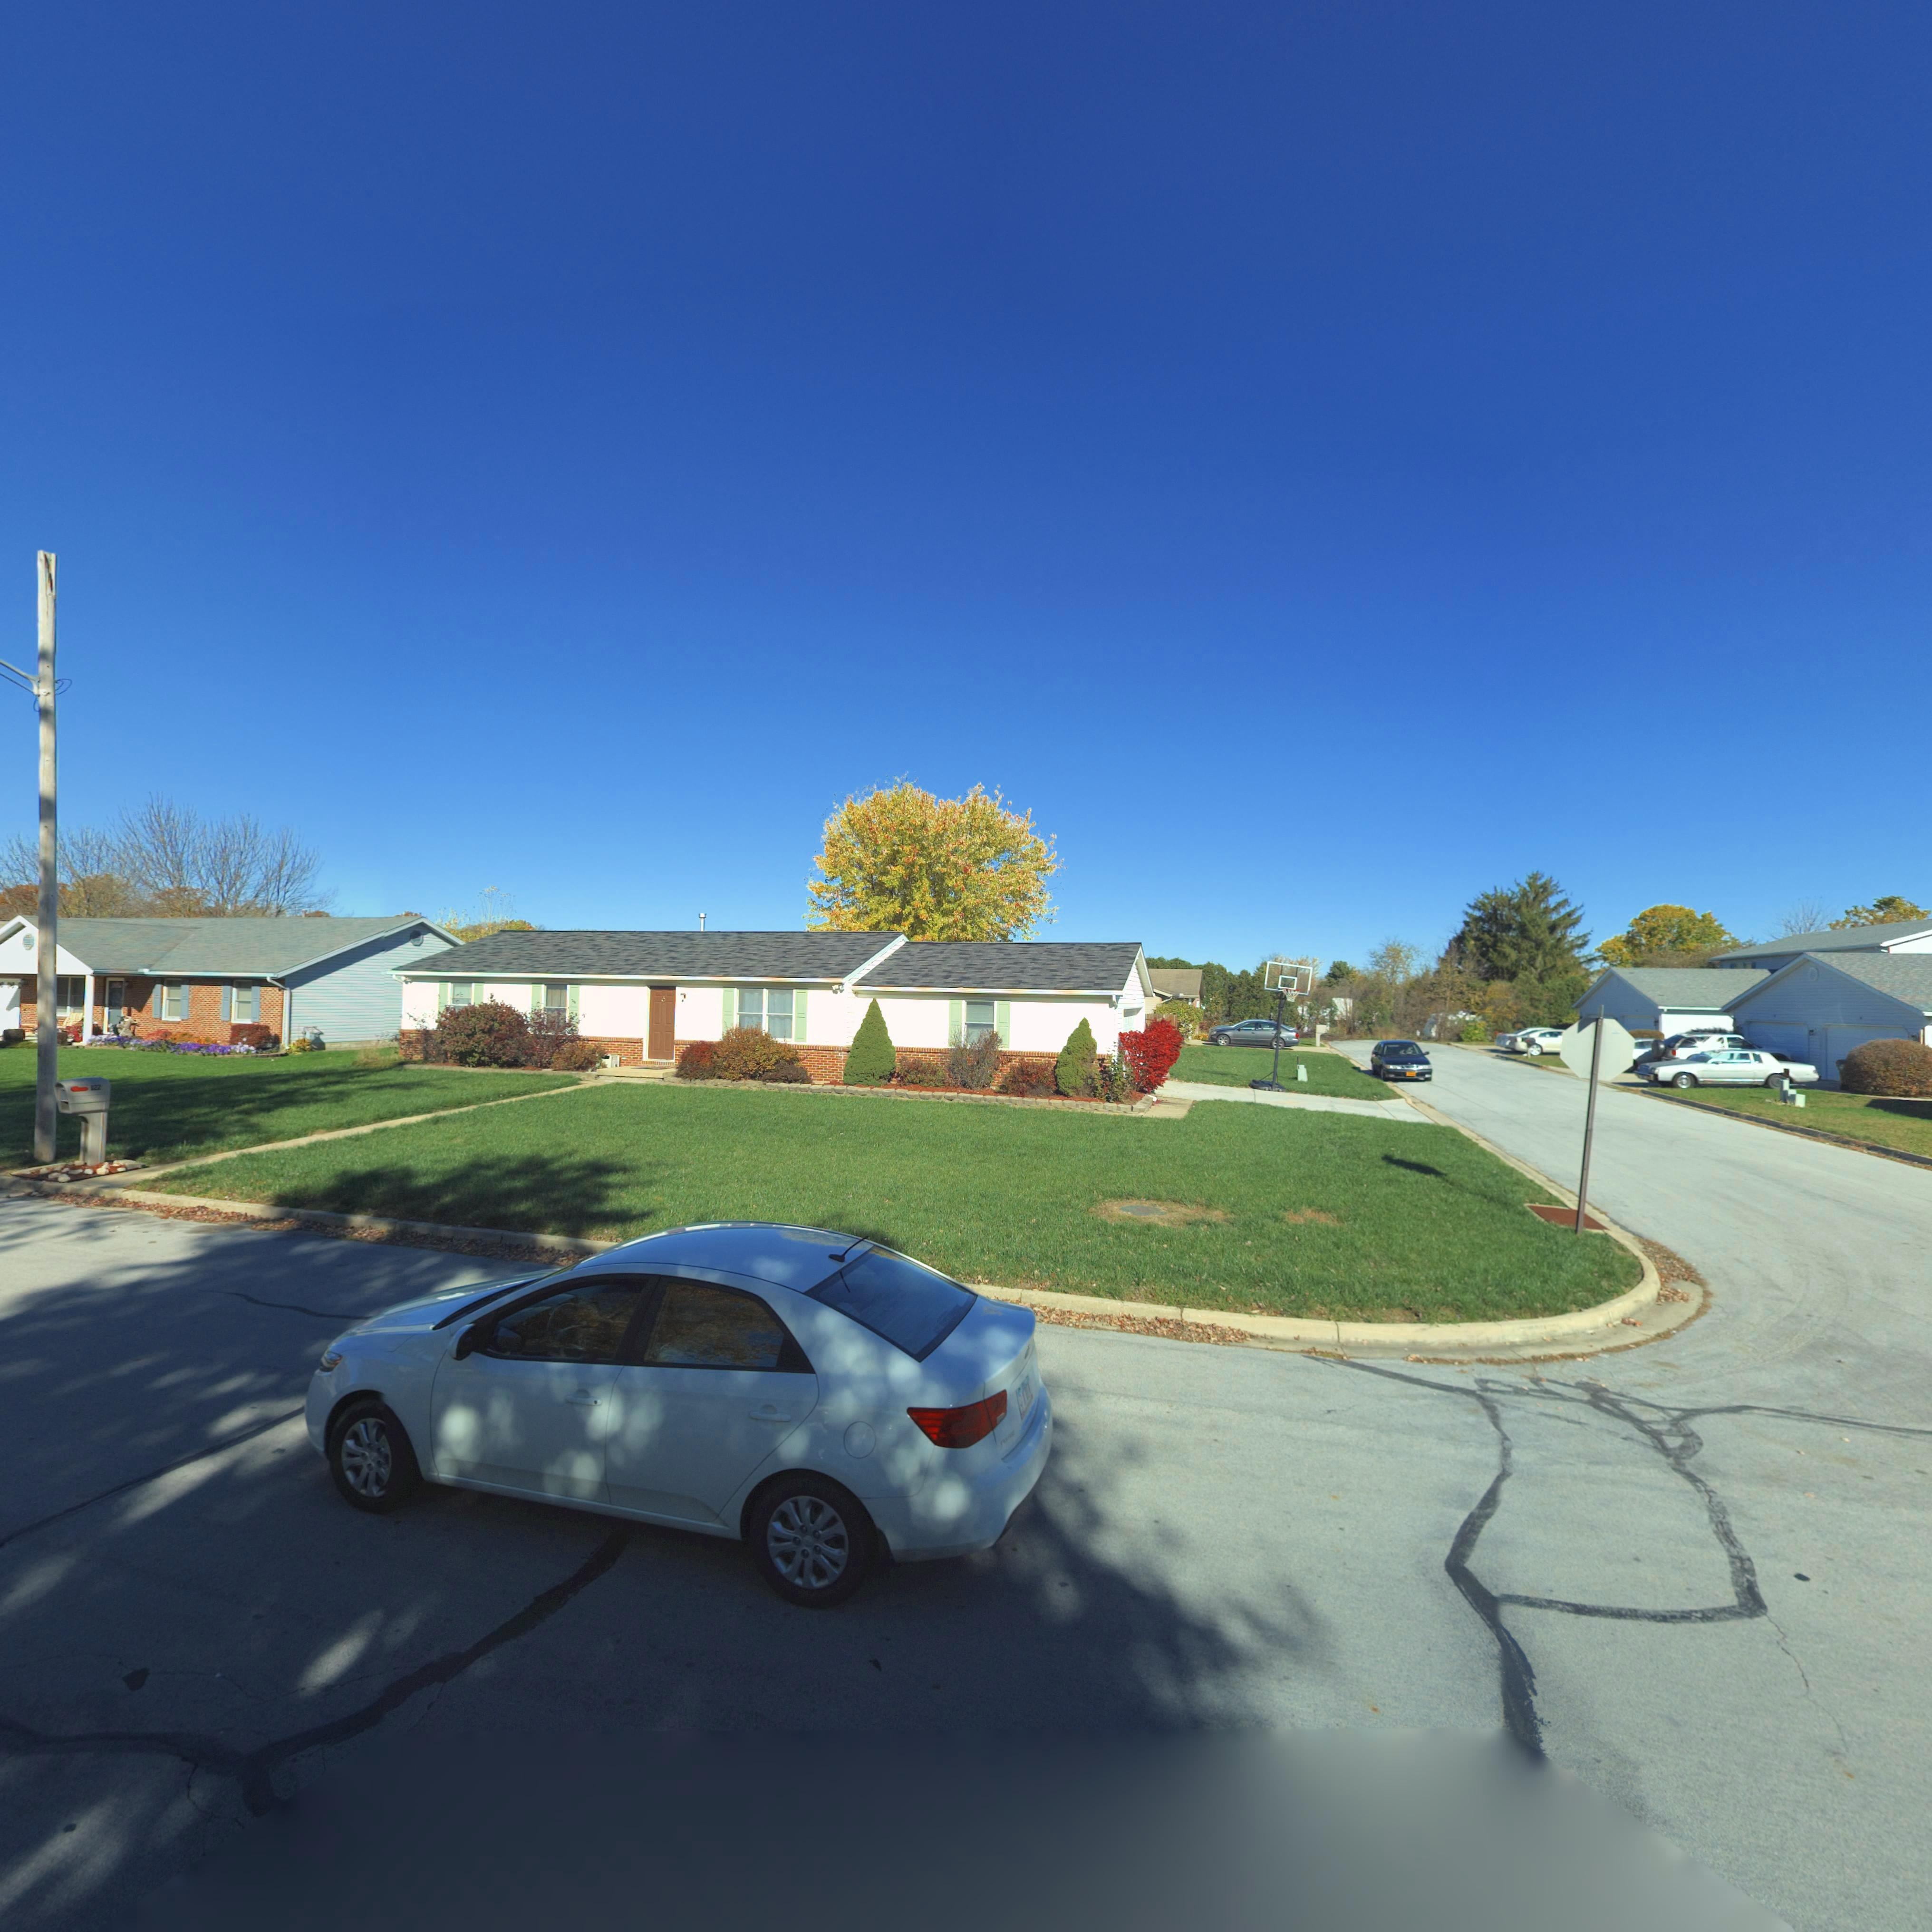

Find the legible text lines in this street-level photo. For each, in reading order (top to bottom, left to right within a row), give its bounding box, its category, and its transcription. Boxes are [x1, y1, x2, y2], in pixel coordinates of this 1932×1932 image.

[90, 1084, 102, 1091] StreetNumber: 122